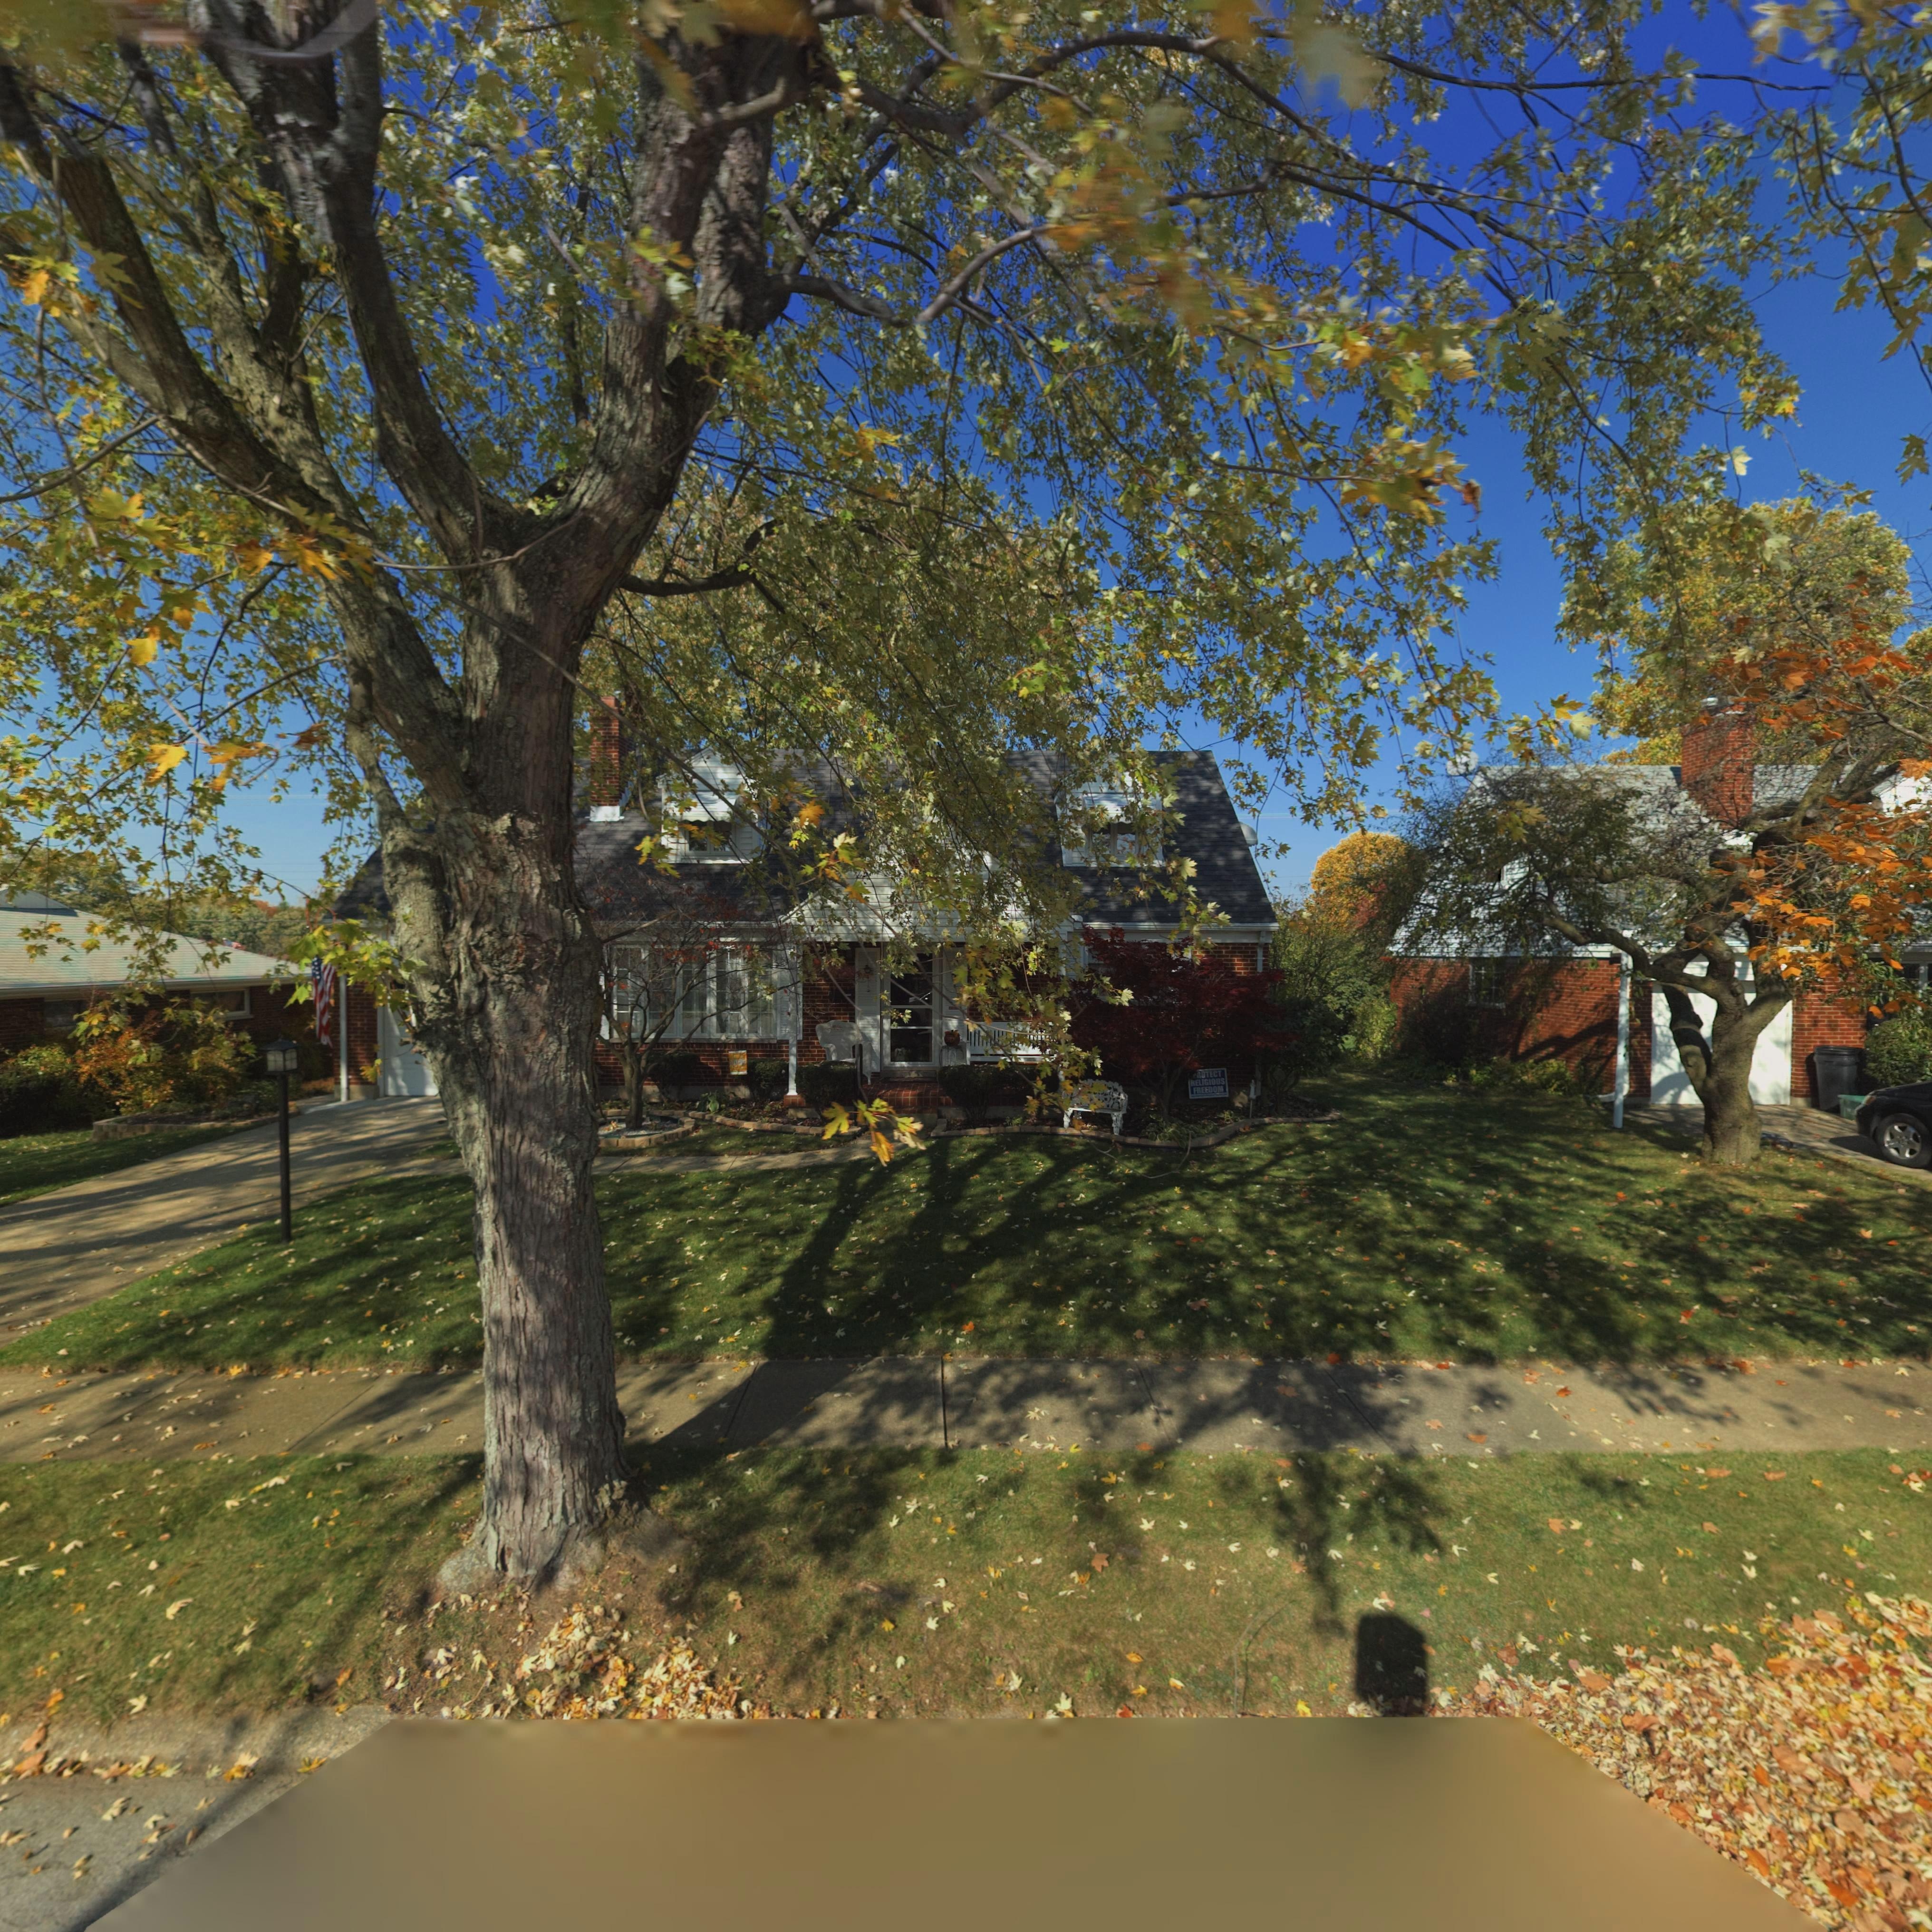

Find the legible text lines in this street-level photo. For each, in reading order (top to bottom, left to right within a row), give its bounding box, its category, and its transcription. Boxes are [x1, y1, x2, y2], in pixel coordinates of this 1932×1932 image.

[1197, 1070, 1222, 1079] None: ROTECT
[1190, 1077, 1226, 1087] None: RELIGIOUS
[1193, 1085, 1224, 1094] None: FREEDOM